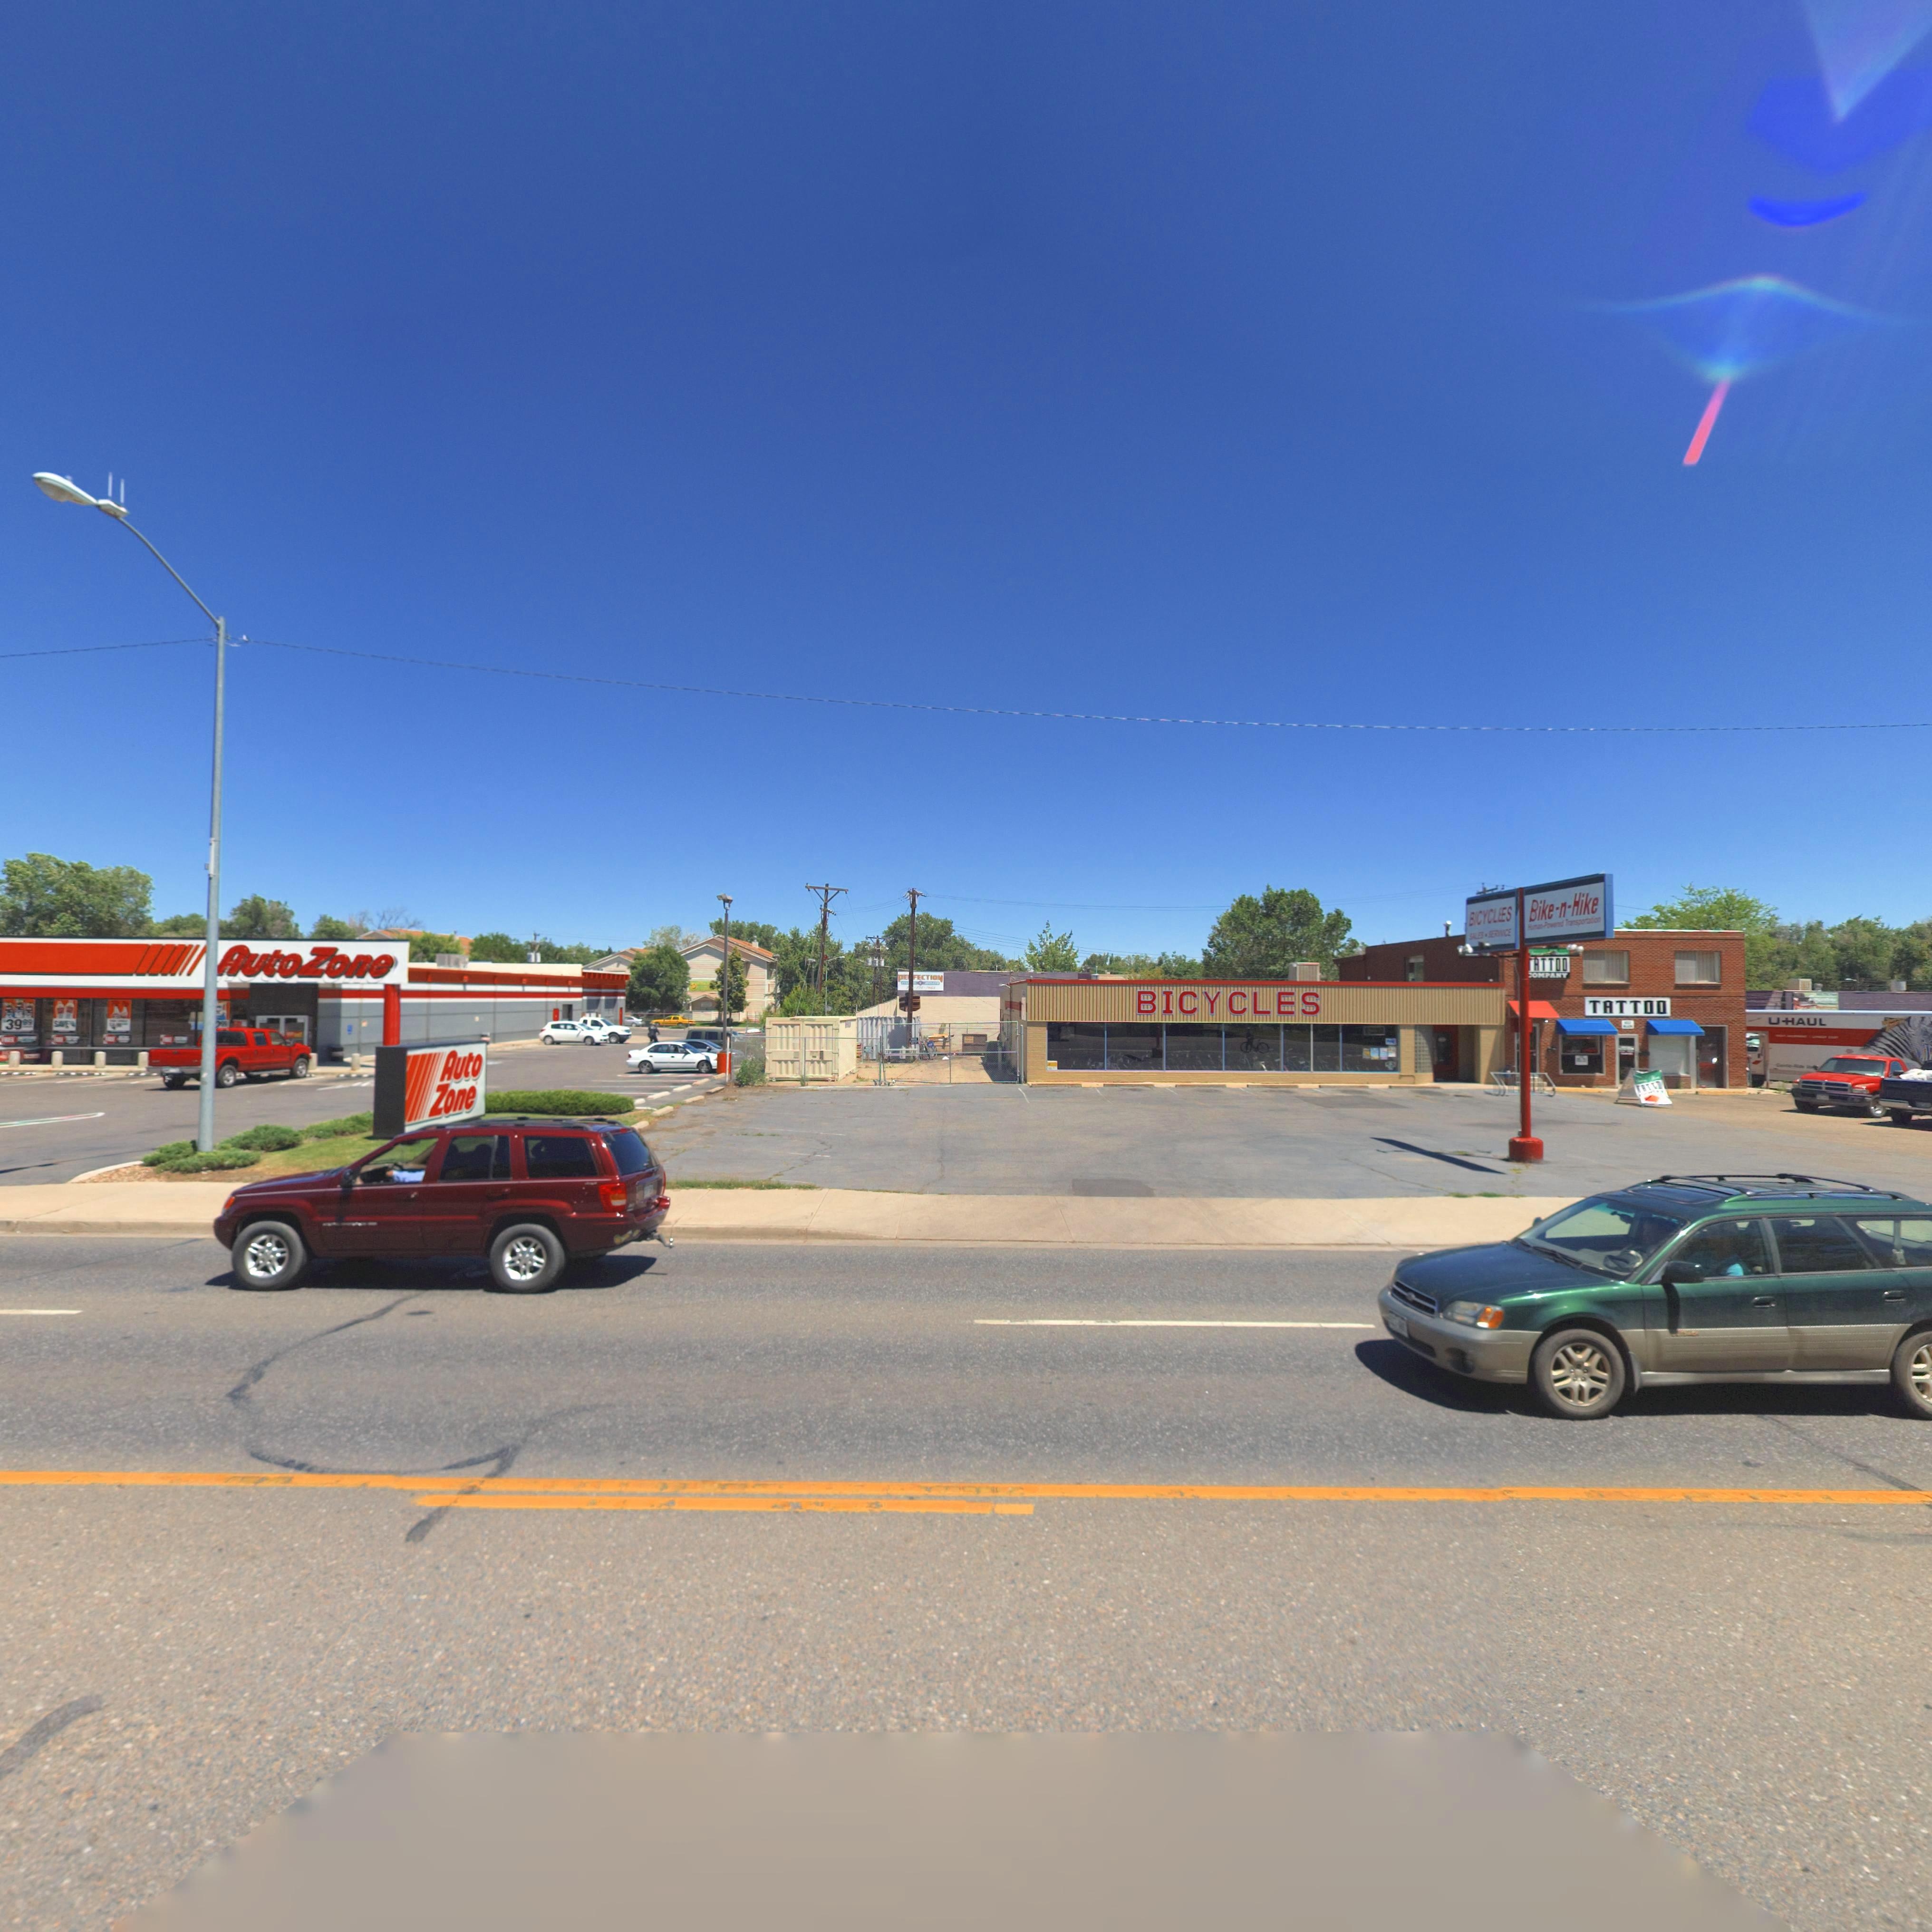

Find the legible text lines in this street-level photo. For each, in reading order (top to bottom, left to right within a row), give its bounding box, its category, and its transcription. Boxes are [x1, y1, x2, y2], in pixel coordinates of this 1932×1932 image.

[1526, 888, 1601, 923] BusinessName: Bike-n-Hike
[1526, 915, 1602, 932] BusinessName: H*man-Powered Transportation
[214, 942, 396, 979] BusinessName: AutoZone
[901, 981, 916, 985] BusinessName: AU**
[897, 973, 943, 984] BusinessName: PE*FECTION
[924, 982, 939, 985] BusinessName: BODY
[438, 1049, 483, 1083] BusinessName: Auto
[426, 1082, 478, 1118] BusinessName: Zone